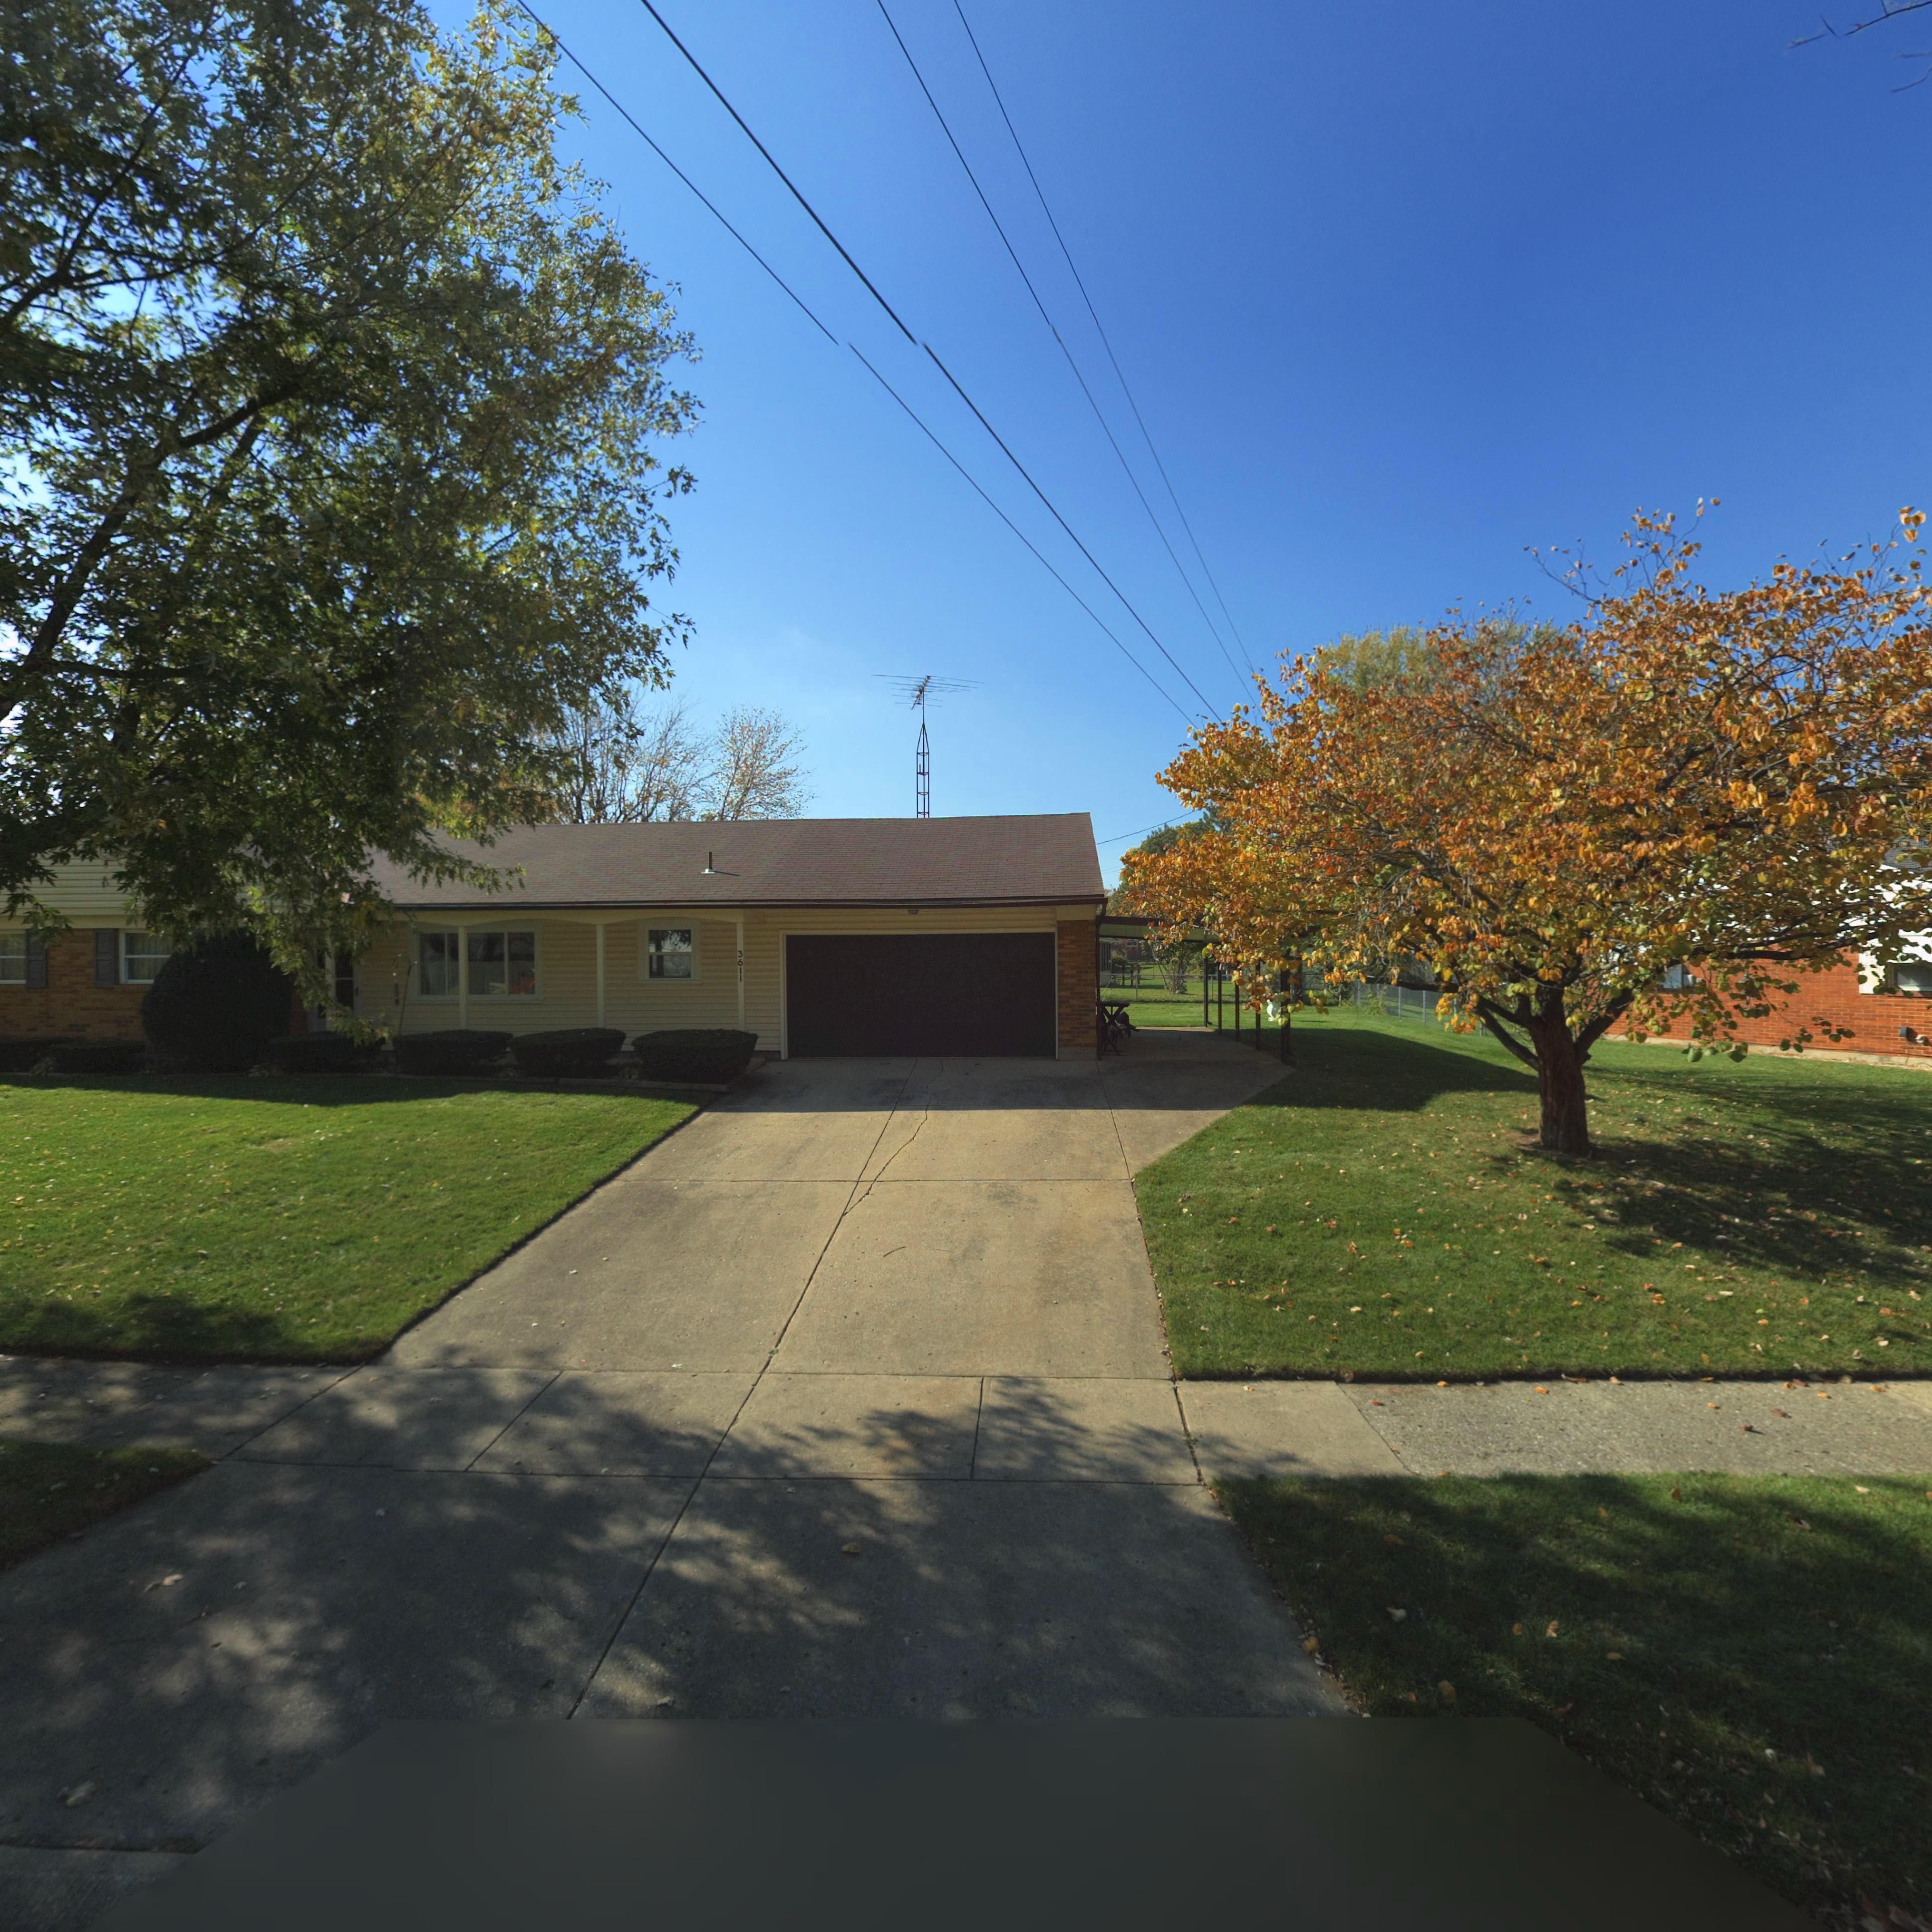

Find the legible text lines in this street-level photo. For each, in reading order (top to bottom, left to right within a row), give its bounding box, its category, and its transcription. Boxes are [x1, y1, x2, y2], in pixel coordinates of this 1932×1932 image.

[736, 948, 744, 984] StreetNumber: 3611